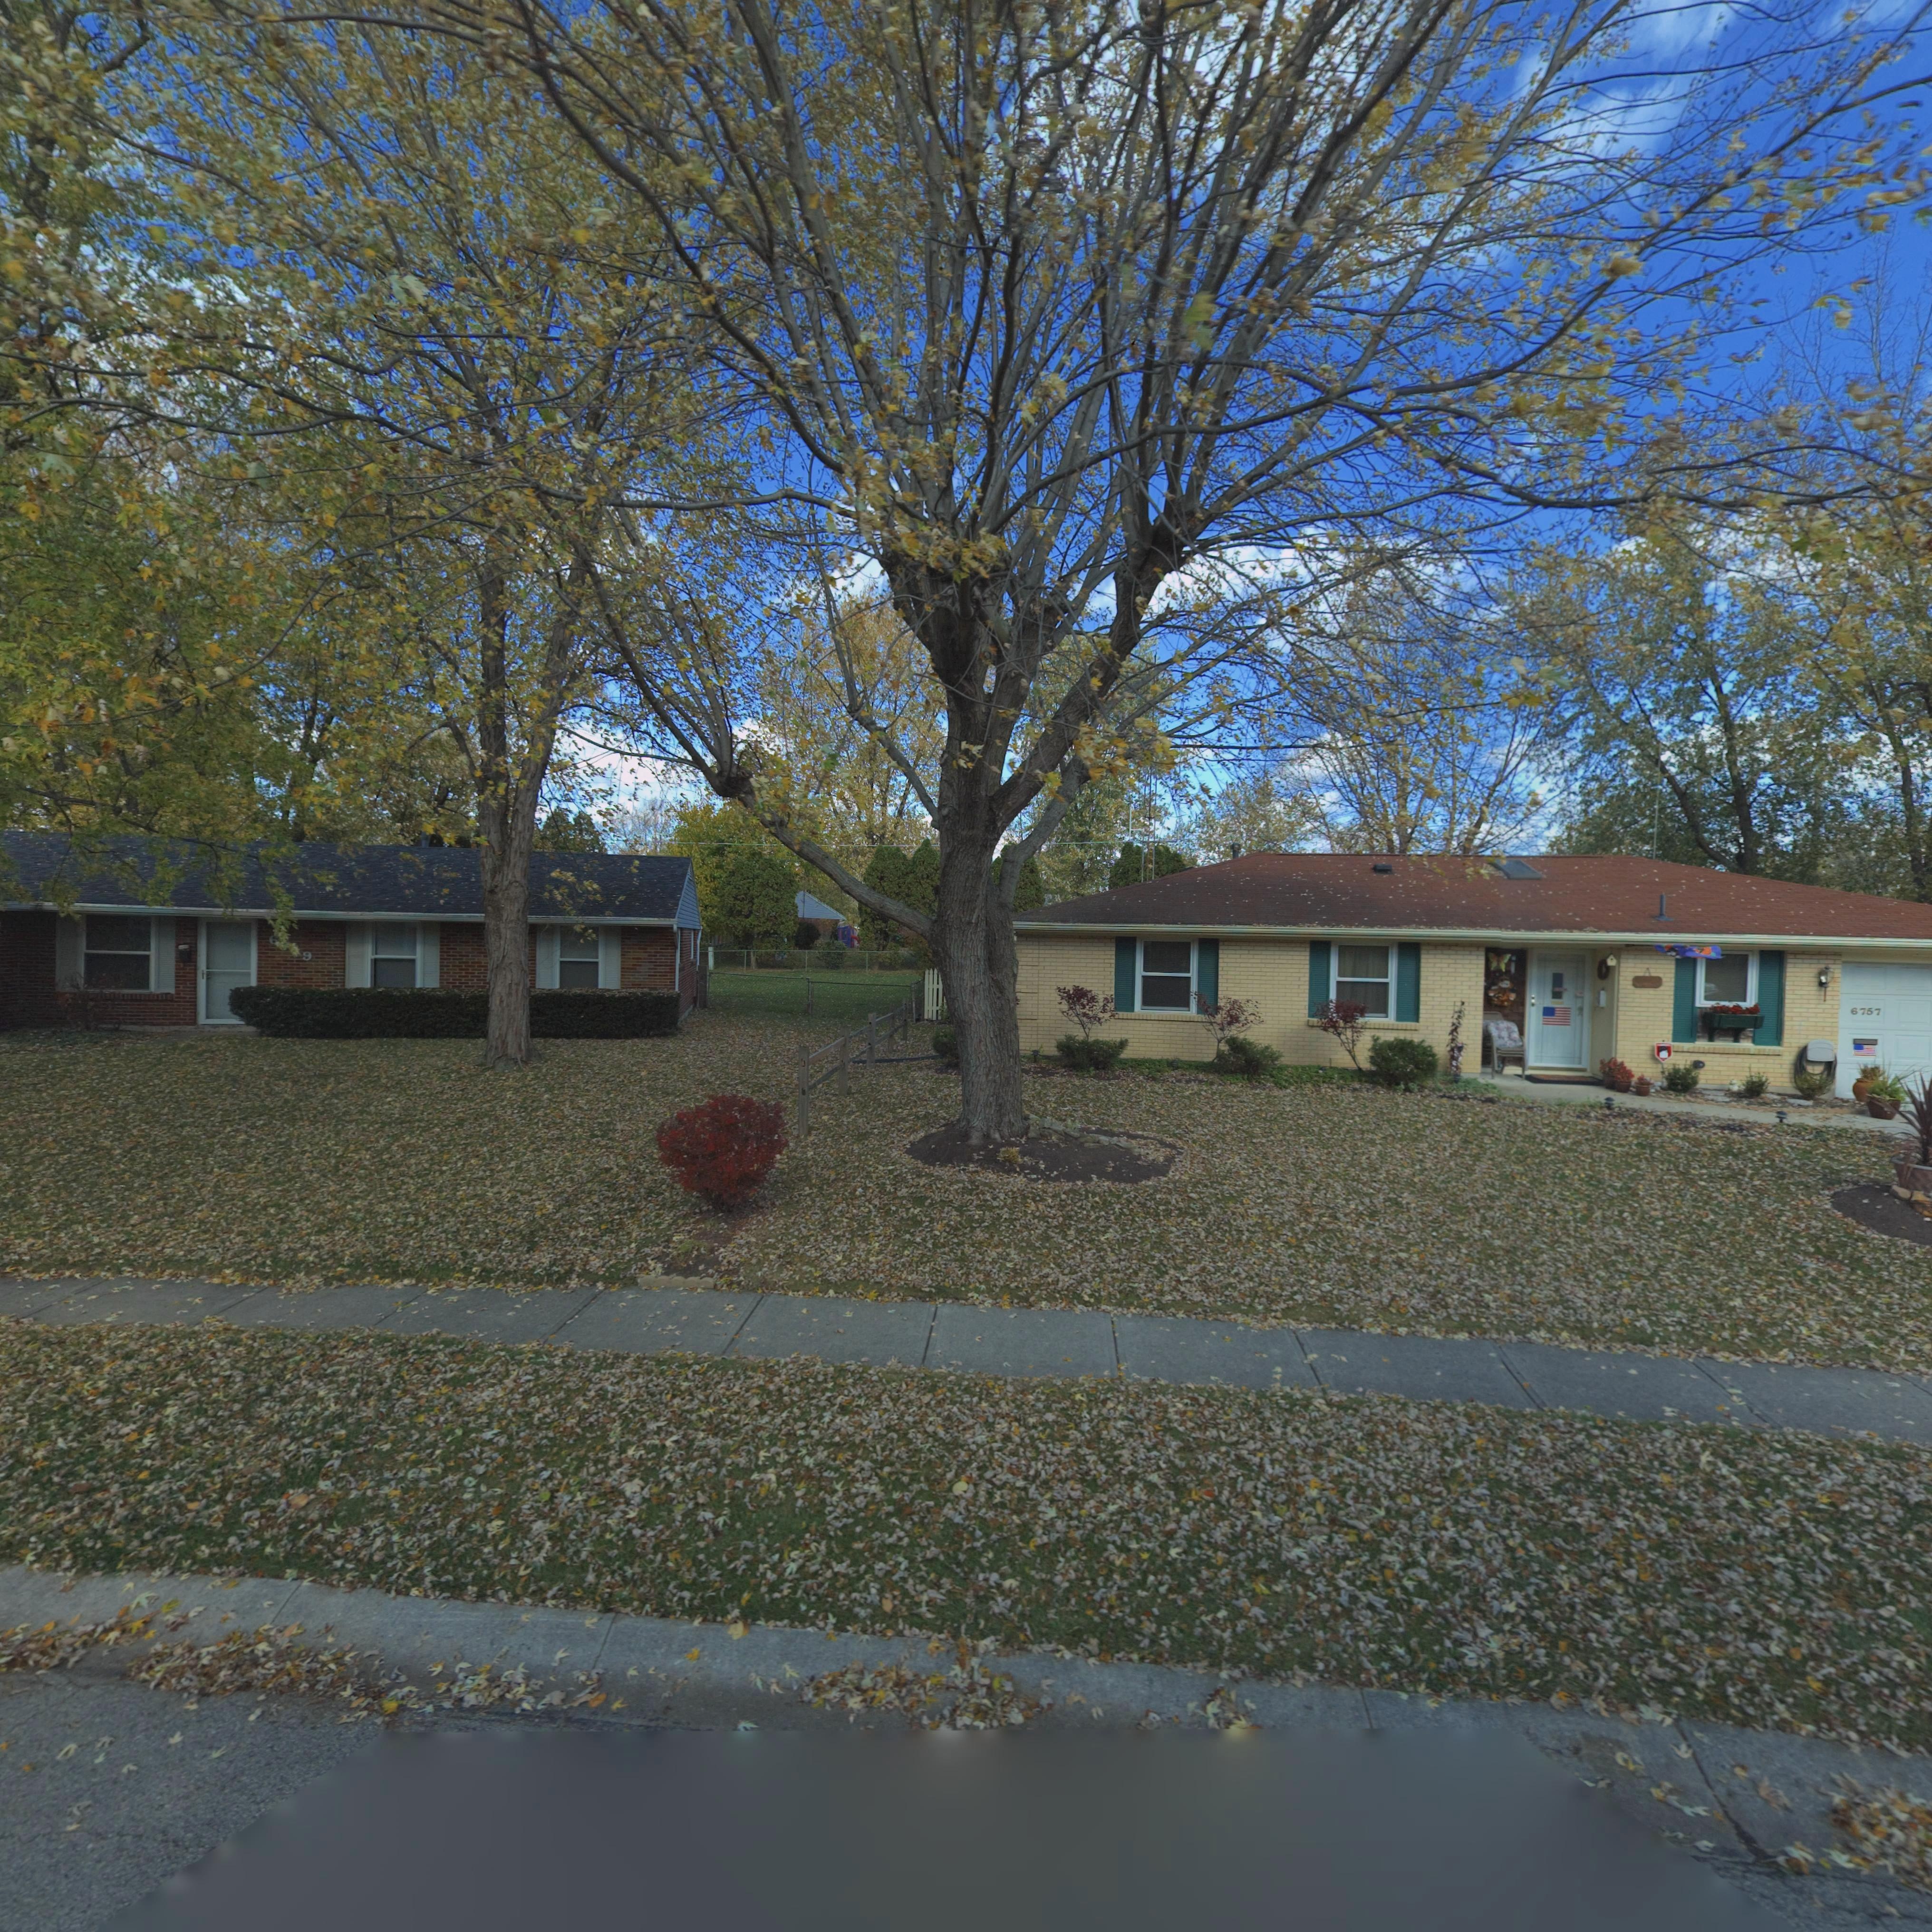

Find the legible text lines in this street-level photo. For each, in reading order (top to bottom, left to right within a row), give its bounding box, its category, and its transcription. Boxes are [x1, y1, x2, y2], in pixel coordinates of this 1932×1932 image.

[268, 934, 312, 961] StreetNumber: 6**9
[1850, 1007, 1882, 1016] StreetNumber: 6757